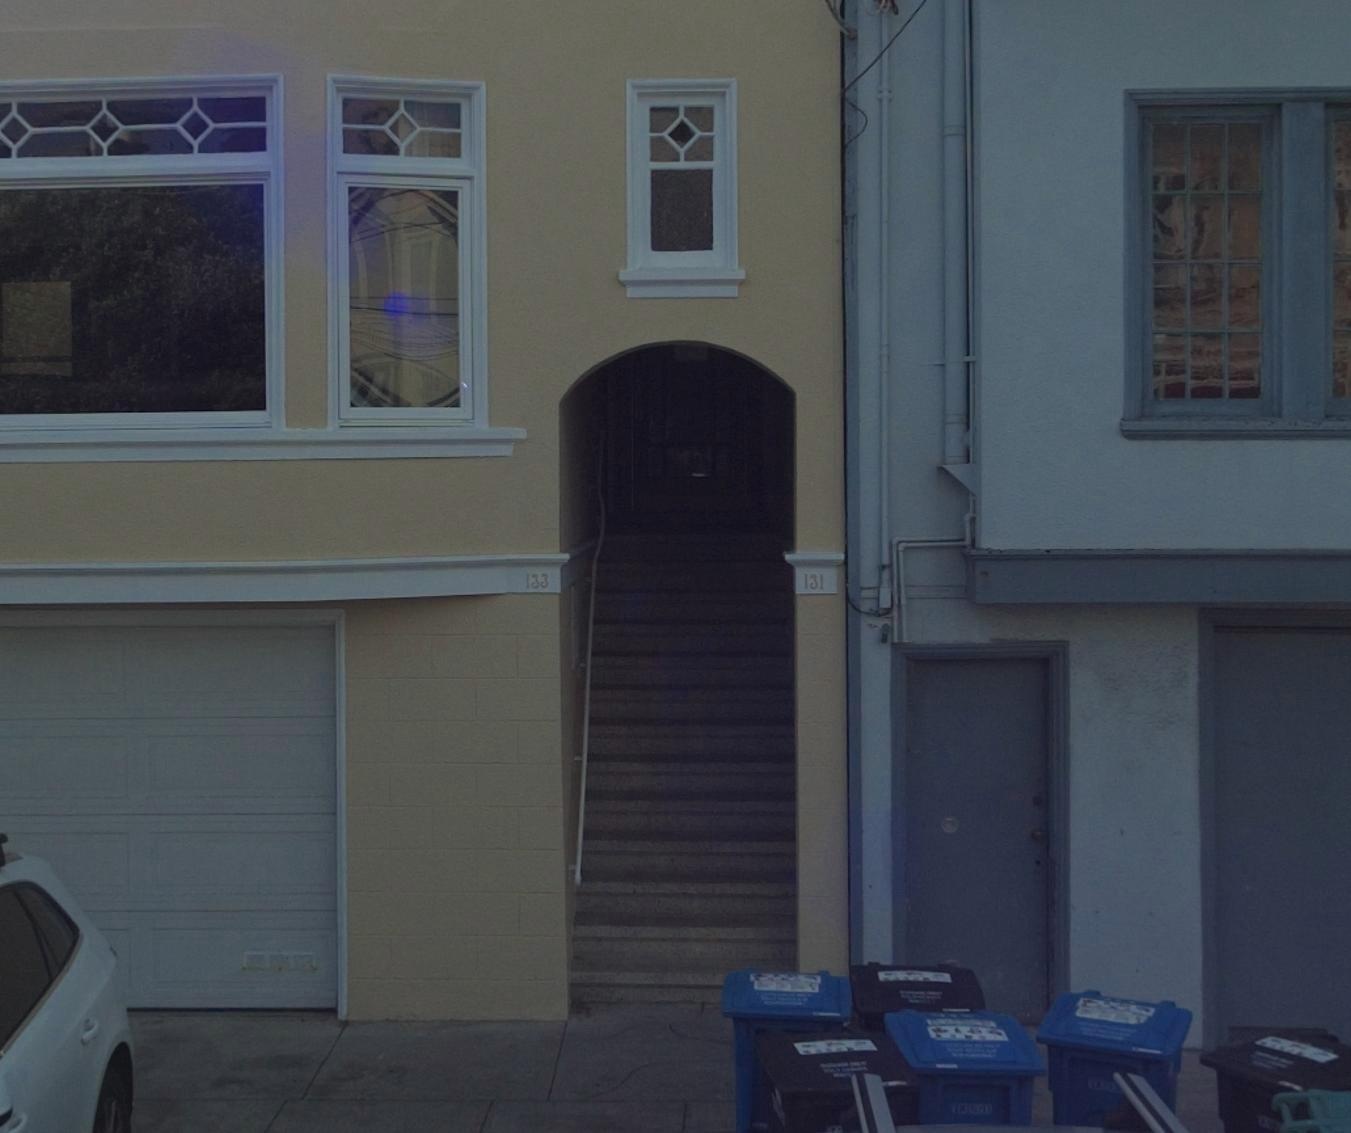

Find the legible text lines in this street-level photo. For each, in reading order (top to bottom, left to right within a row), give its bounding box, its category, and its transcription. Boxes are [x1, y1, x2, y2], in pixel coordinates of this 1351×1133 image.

[525, 572, 549, 589] StreetNumber: 133
[803, 573, 825, 590] StreetNumber: 131